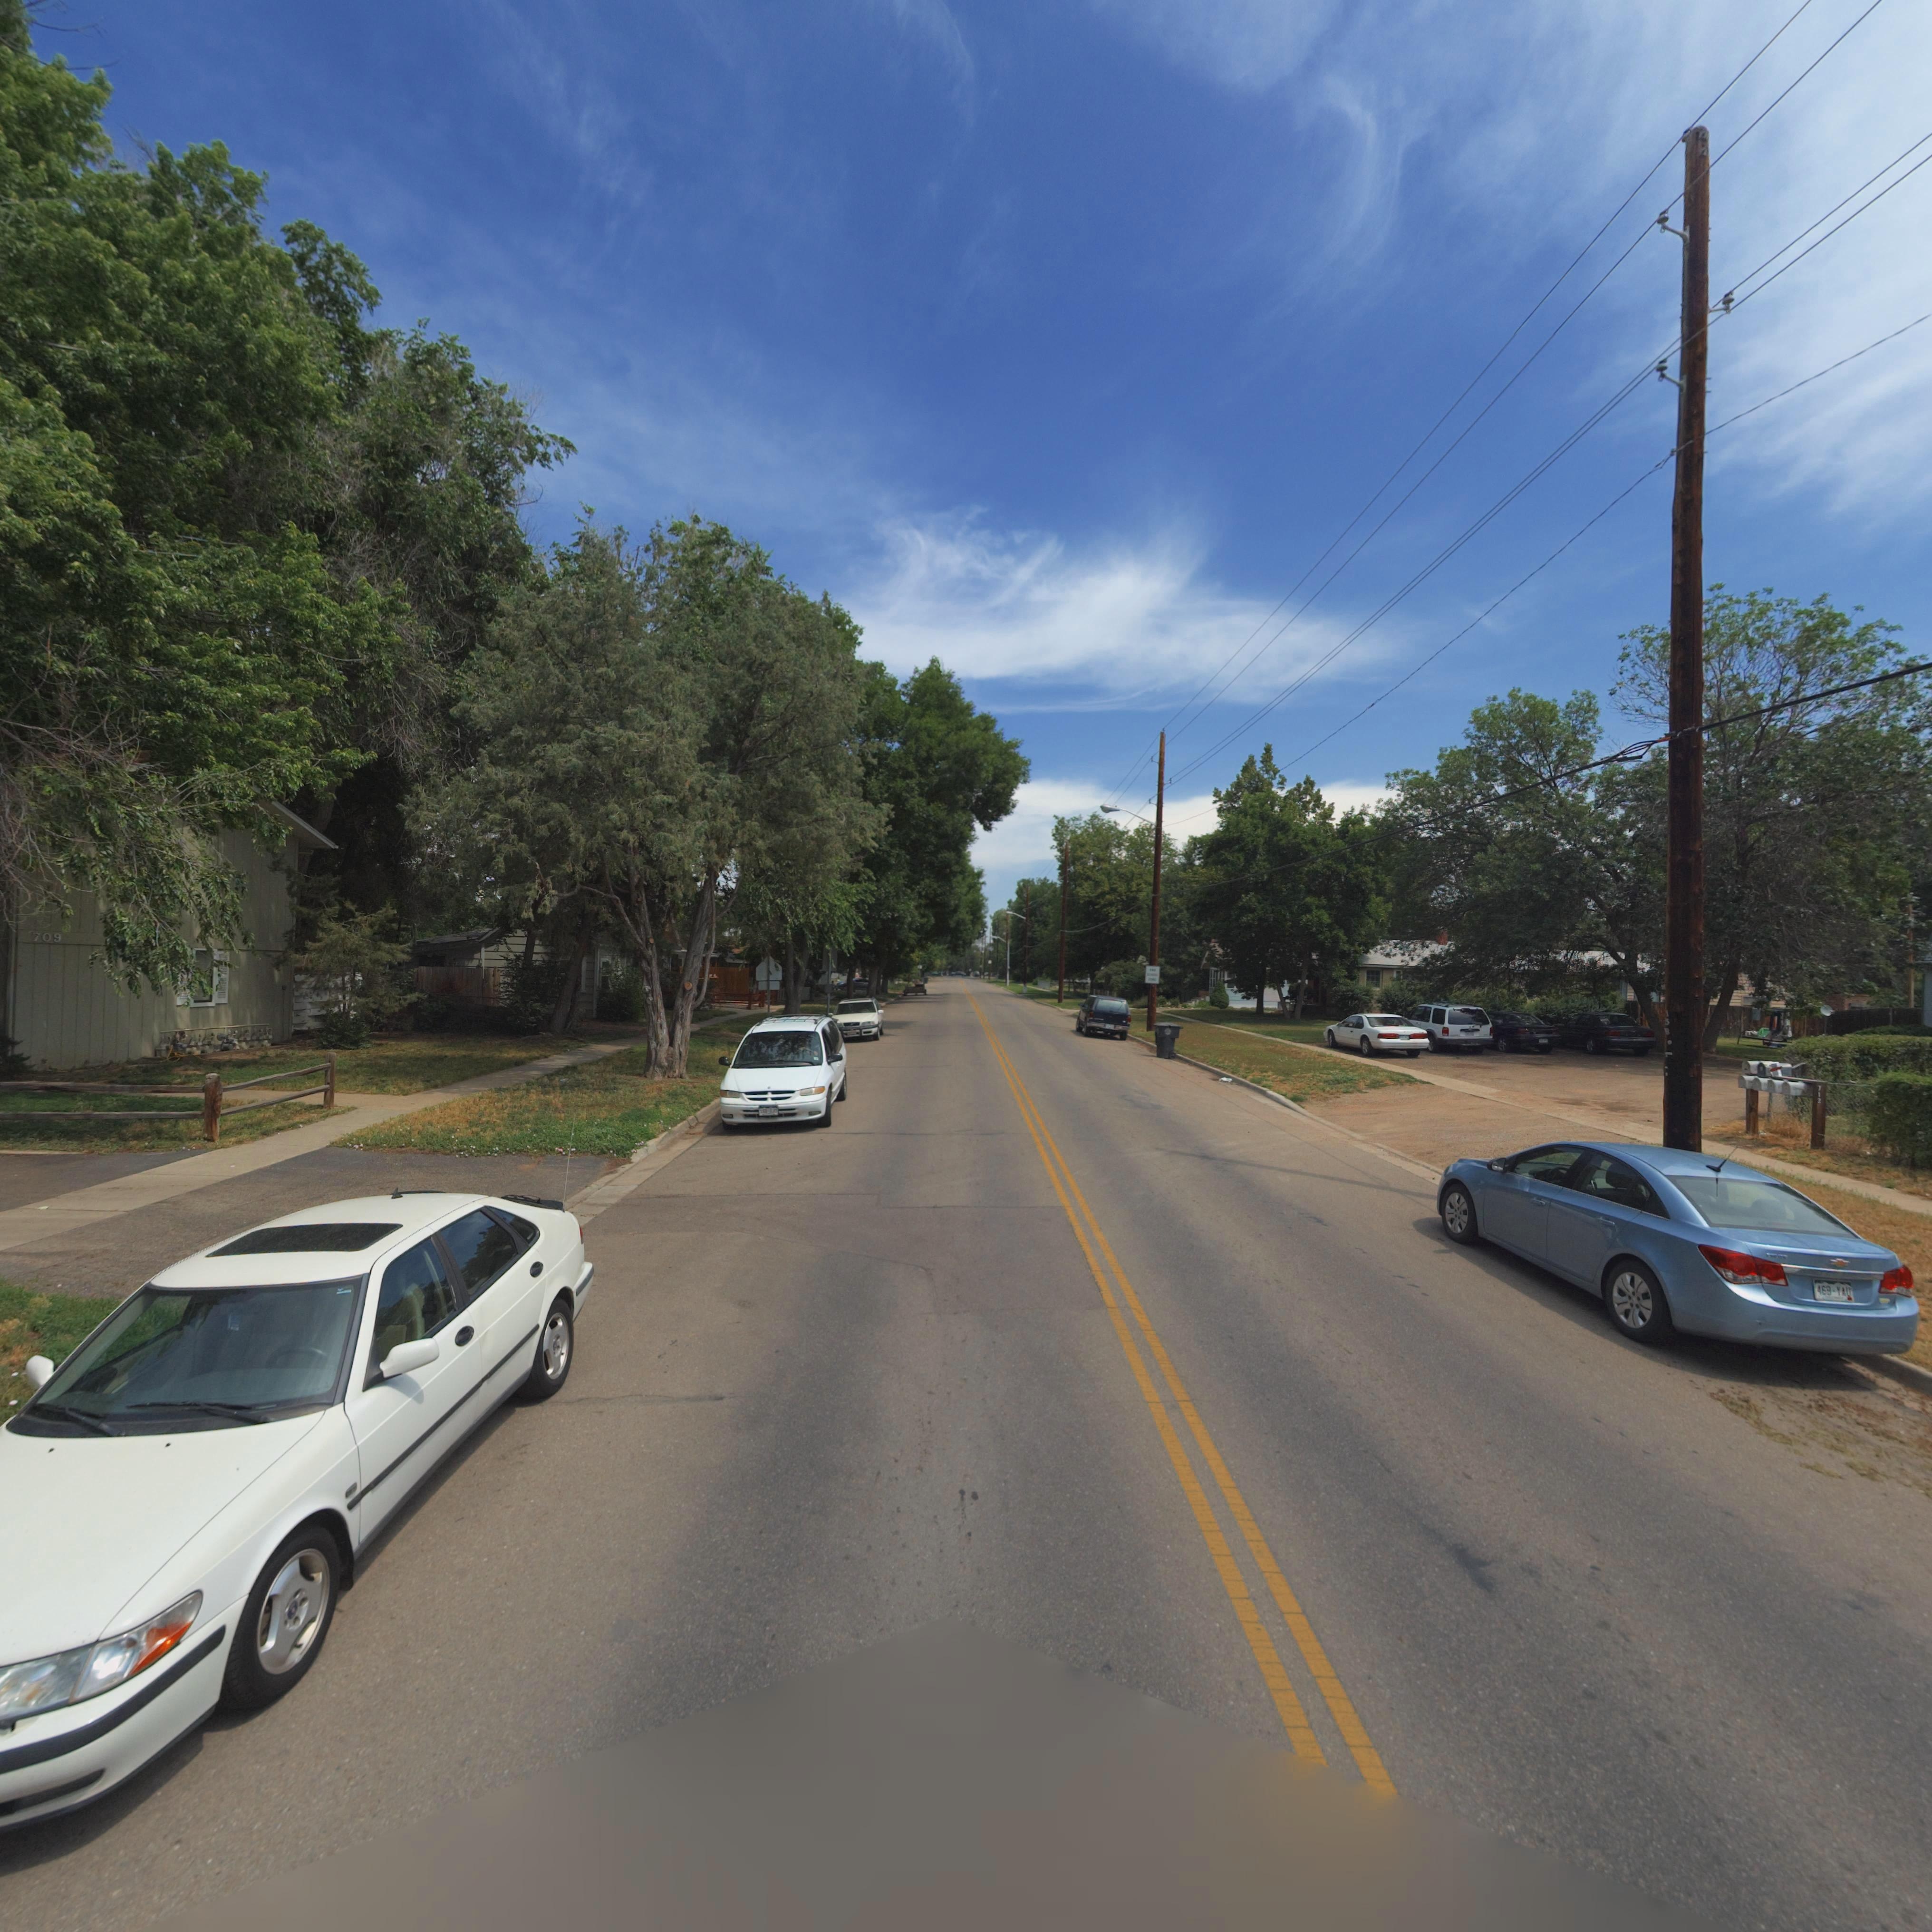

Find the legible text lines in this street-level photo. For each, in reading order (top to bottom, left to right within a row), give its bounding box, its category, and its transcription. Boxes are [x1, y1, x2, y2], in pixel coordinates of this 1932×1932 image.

[1816, 1084, 1823, 1104] StreetNumber: 712